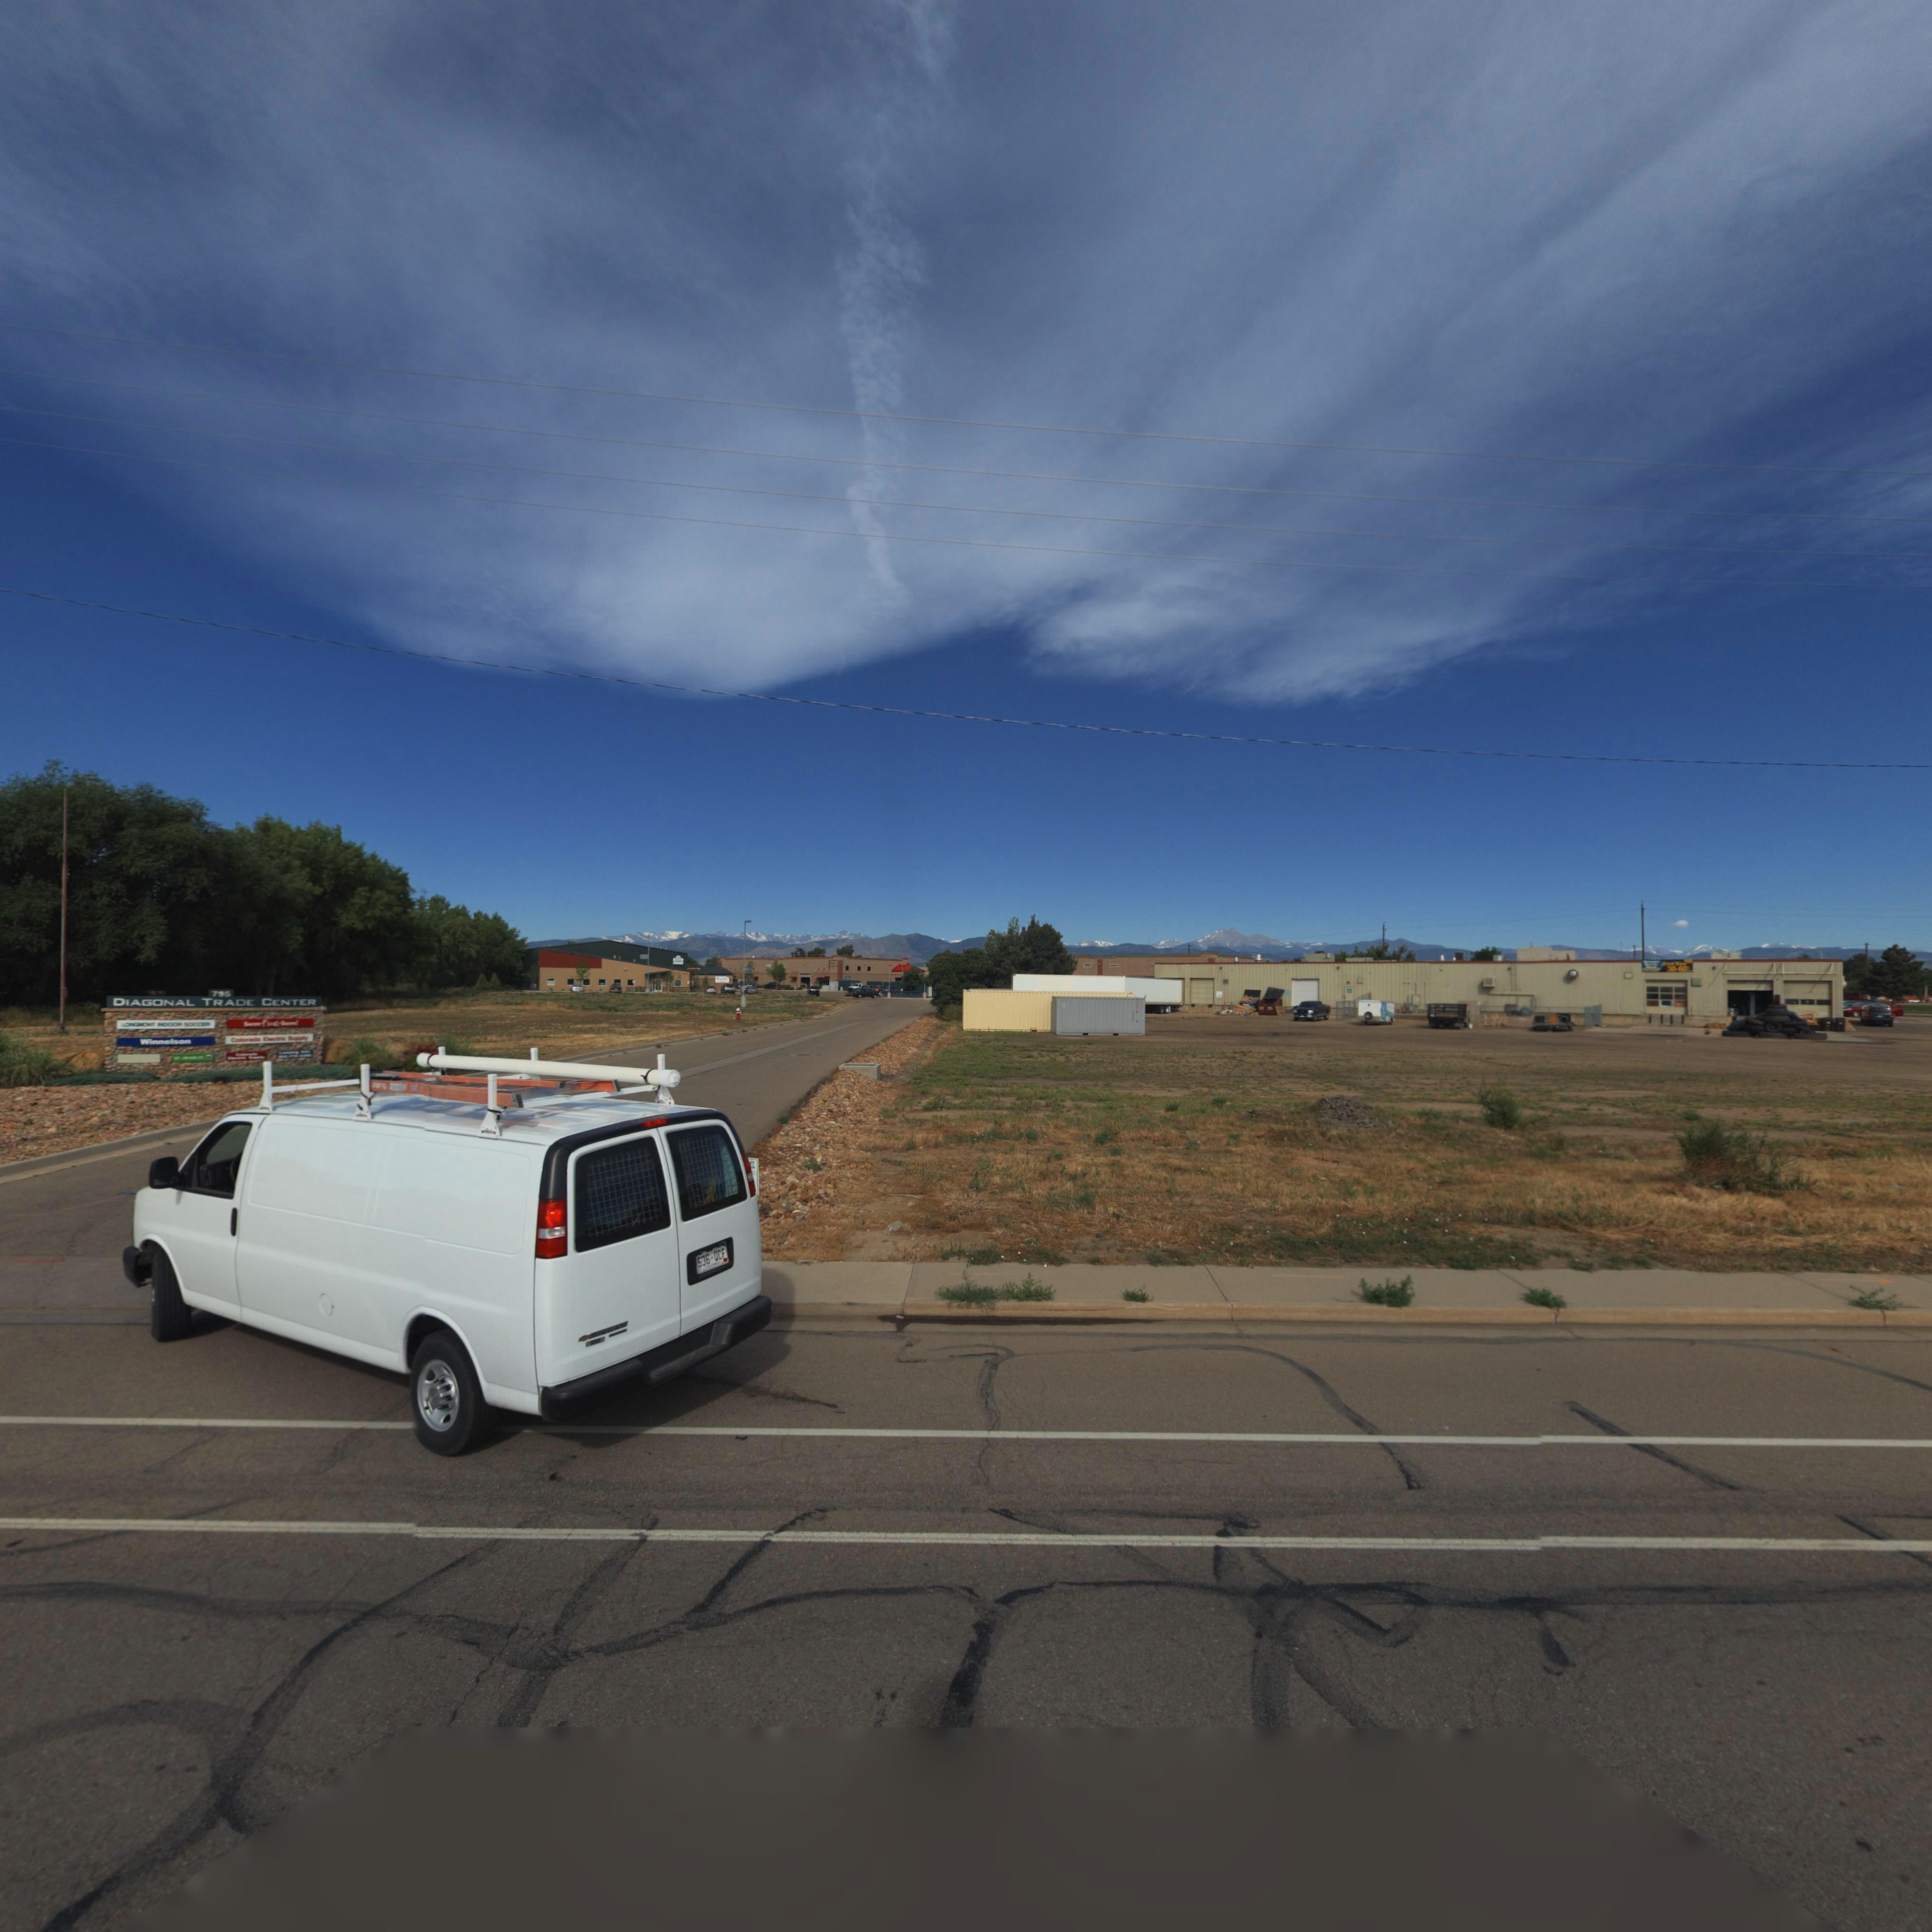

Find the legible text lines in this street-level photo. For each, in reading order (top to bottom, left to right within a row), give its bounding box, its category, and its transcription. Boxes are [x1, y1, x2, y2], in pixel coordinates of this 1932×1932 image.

[212, 990, 231, 996] StreetNumber: 795
[111, 998, 315, 1006] BusinessName: DIAGONAL TRADE CENTER
[121, 1022, 210, 1026] BusinessName: LONGMONT INDOOR SOCCER
[139, 1038, 191, 1044] BusinessName: Winnelson
[230, 1034, 308, 1042] BusinessName: Colorado Electric Supply